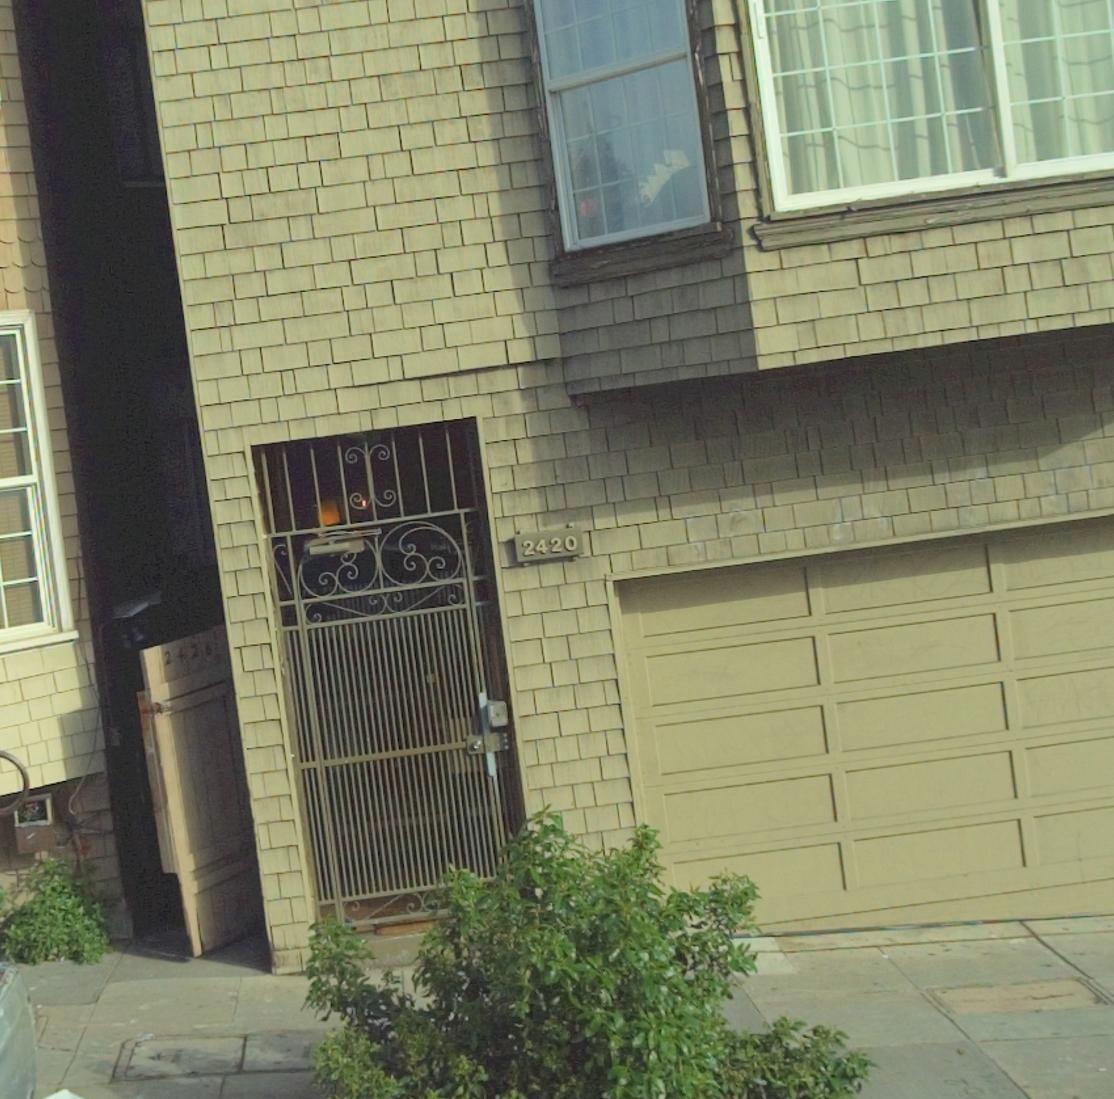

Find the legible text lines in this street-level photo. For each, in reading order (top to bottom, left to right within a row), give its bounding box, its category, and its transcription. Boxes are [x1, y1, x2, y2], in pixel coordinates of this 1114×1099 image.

[520, 533, 579, 558] StreetNumber: 2420
[162, 639, 215, 669] StreetNumber: 2426